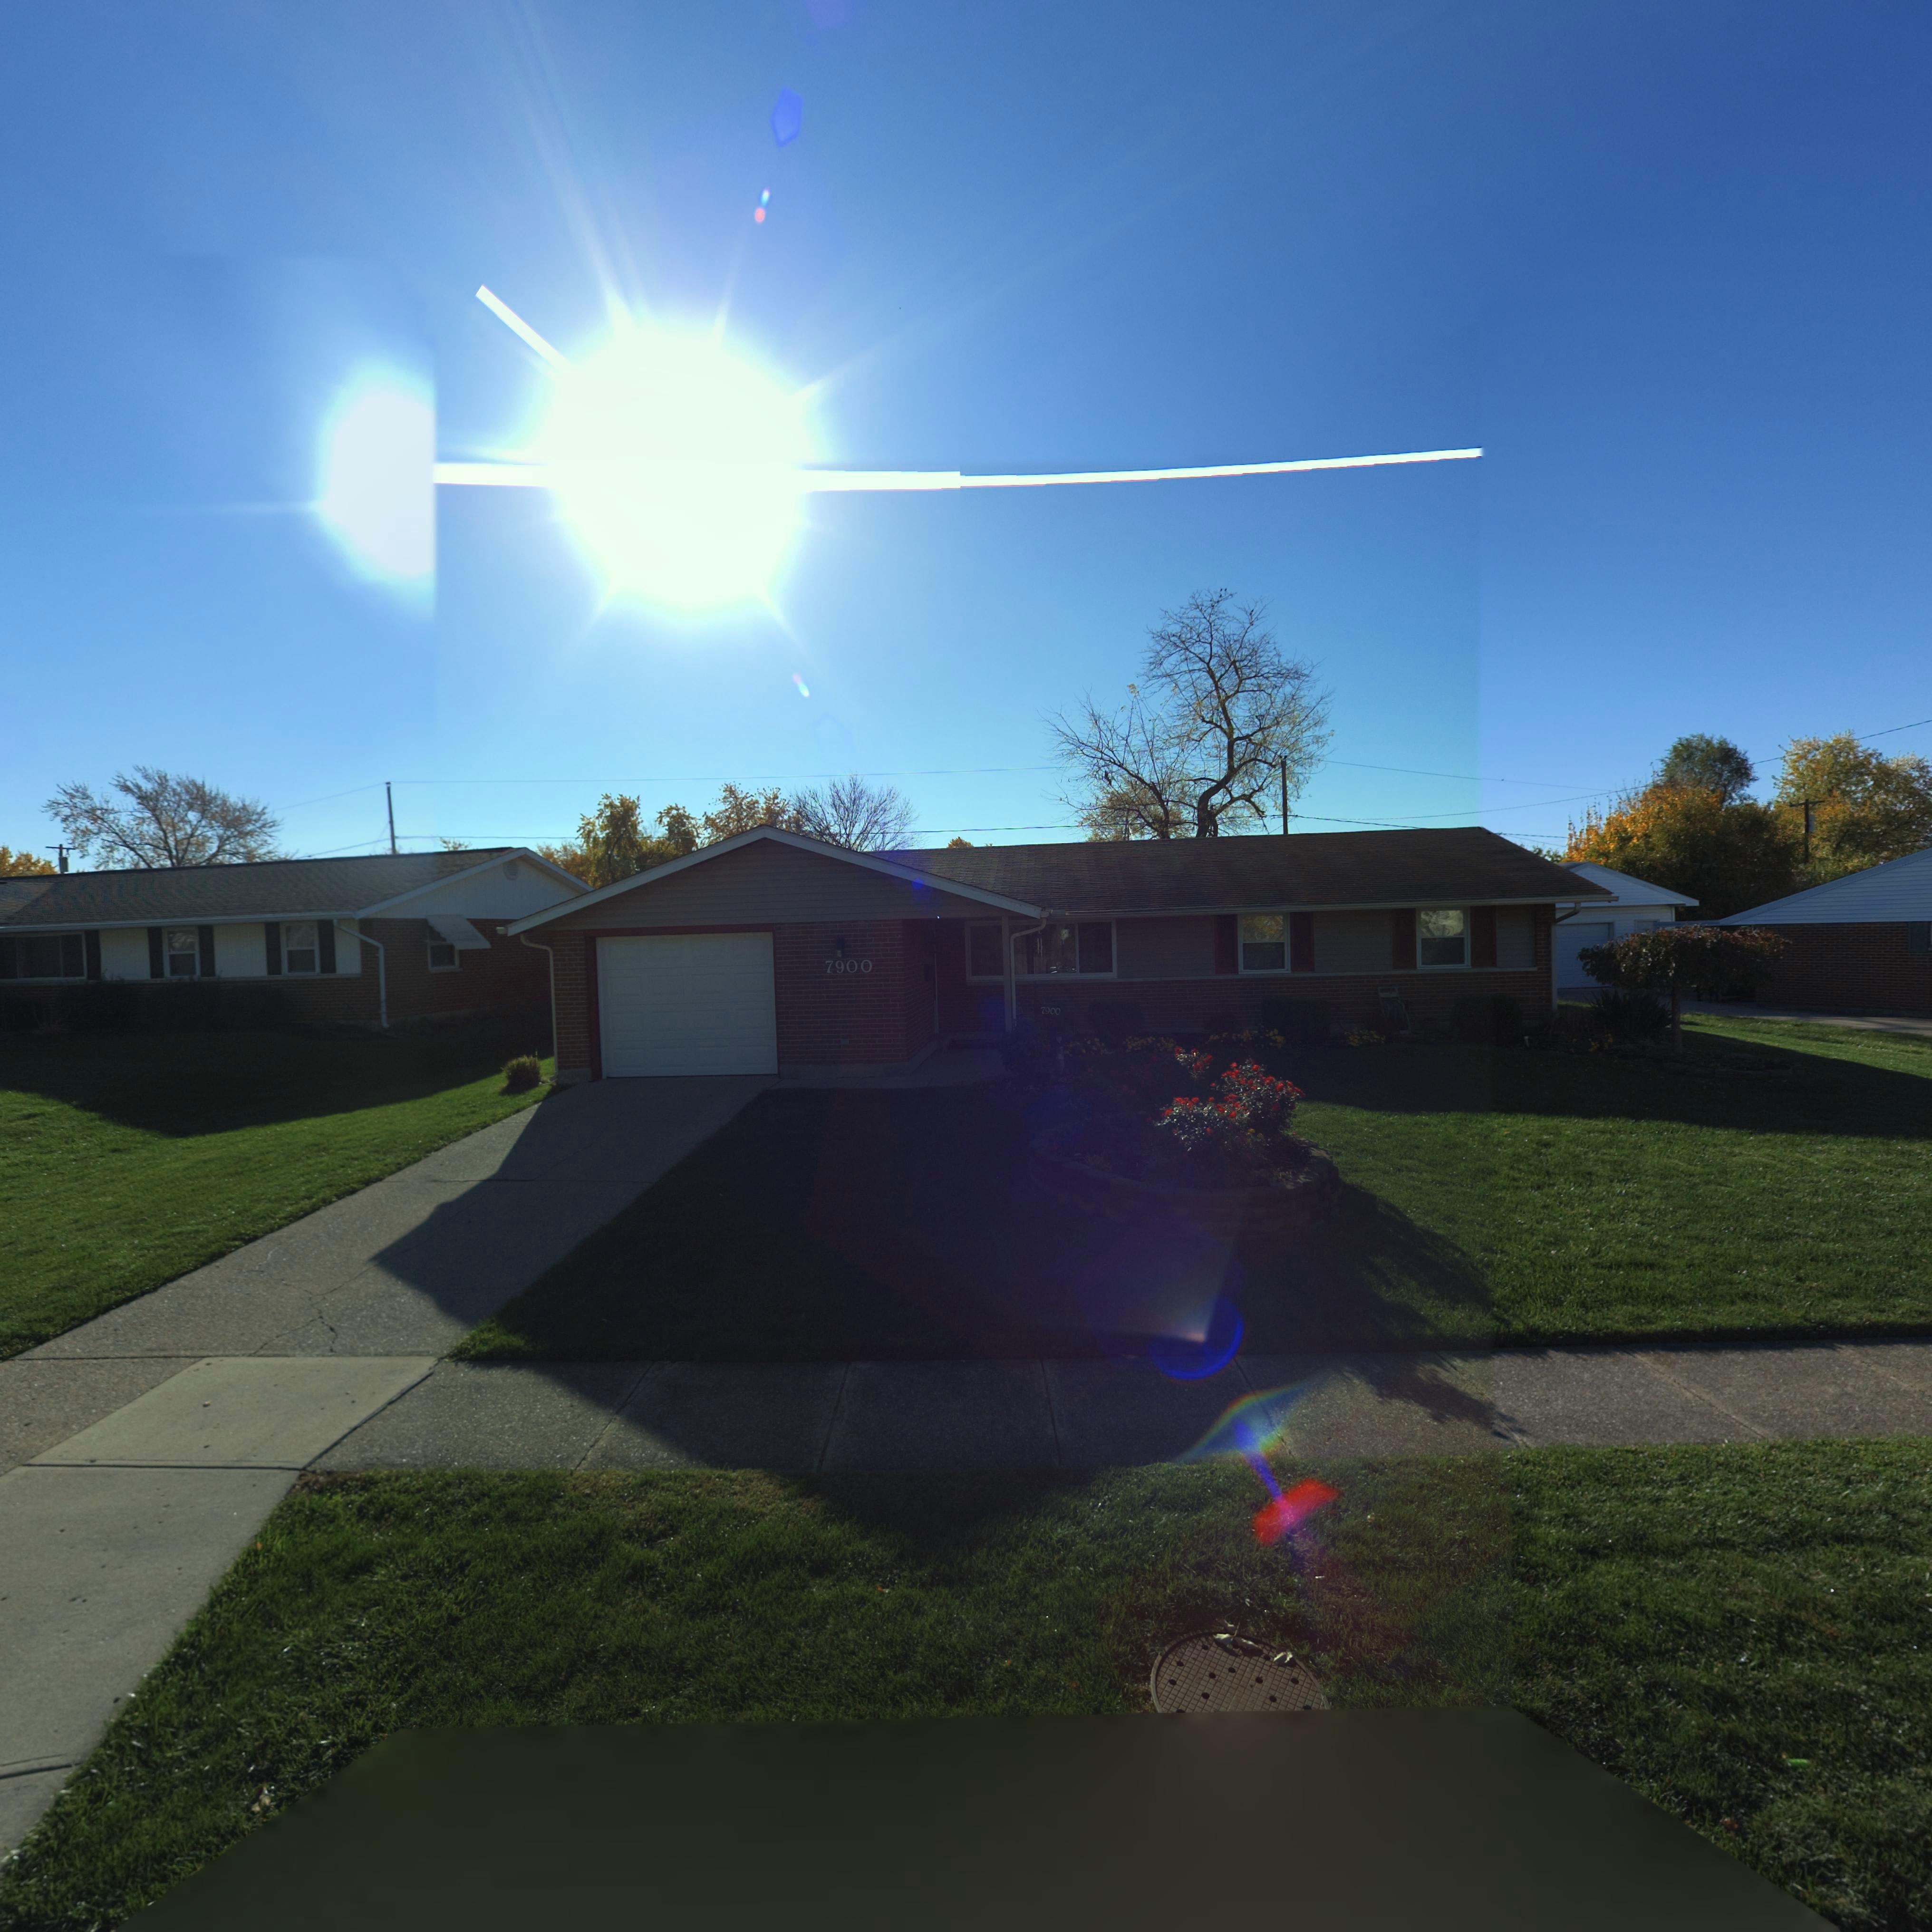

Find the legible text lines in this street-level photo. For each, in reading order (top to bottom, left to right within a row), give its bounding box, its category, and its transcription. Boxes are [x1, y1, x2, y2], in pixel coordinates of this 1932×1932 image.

[824, 959, 873, 974] StreetNumber: 7900
[1040, 1006, 1062, 1016] StreetNumber: 7900